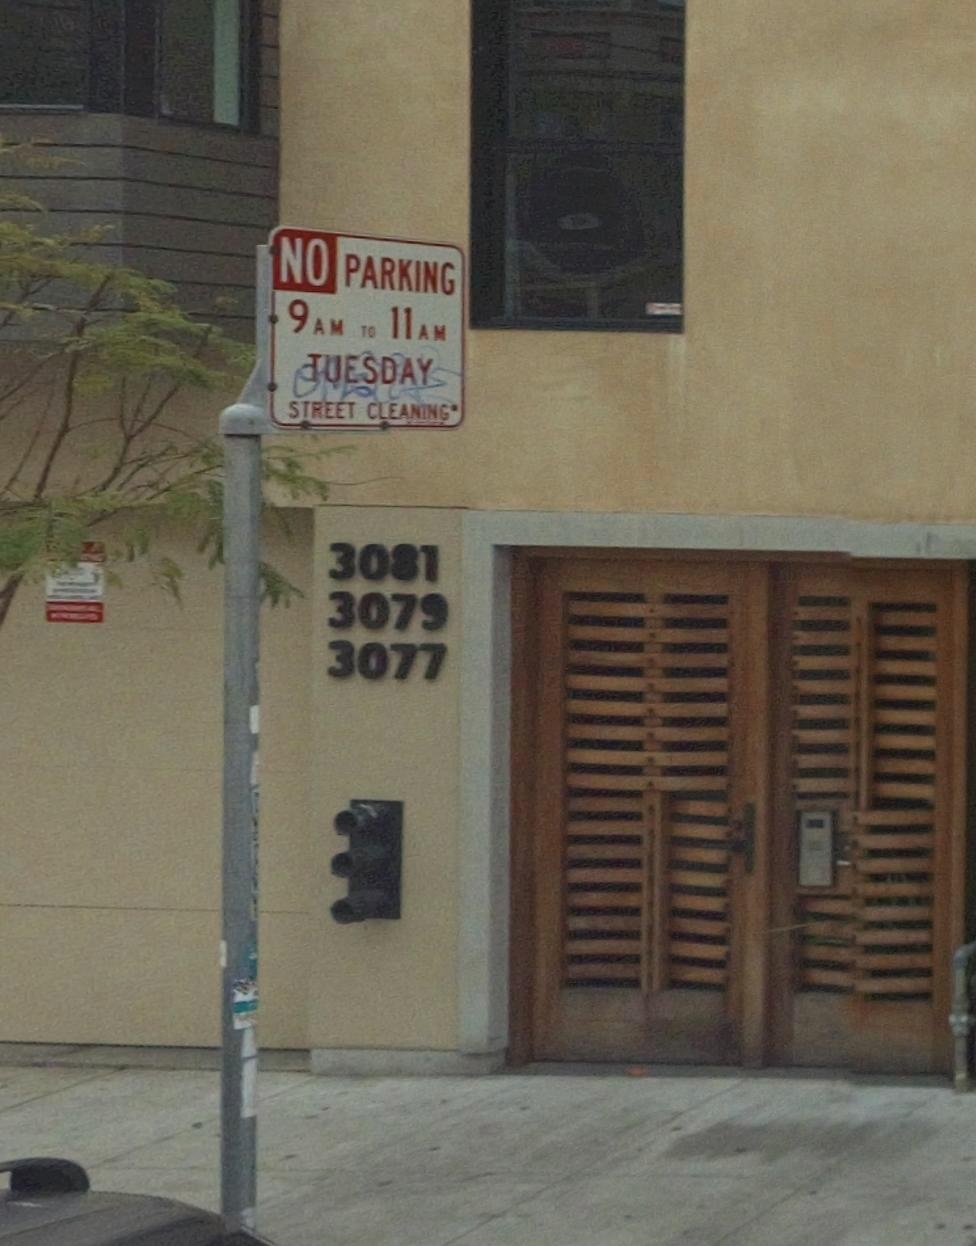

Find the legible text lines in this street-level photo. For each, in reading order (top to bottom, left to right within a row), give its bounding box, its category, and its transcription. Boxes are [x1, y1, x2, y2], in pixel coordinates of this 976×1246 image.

[277, 231, 457, 298] None: NO PARKING
[285, 295, 346, 338] None: 9AM
[359, 322, 377, 340] None: TO
[388, 302, 448, 343] None: 11AM
[305, 350, 435, 390] None: TUESDAY
[287, 399, 450, 423] None: STREET CLEANING
[327, 542, 442, 584] StreetNumber: 3081
[323, 589, 450, 633] StreetNumber: 3079
[323, 638, 449, 681] StreetNumber: 3077